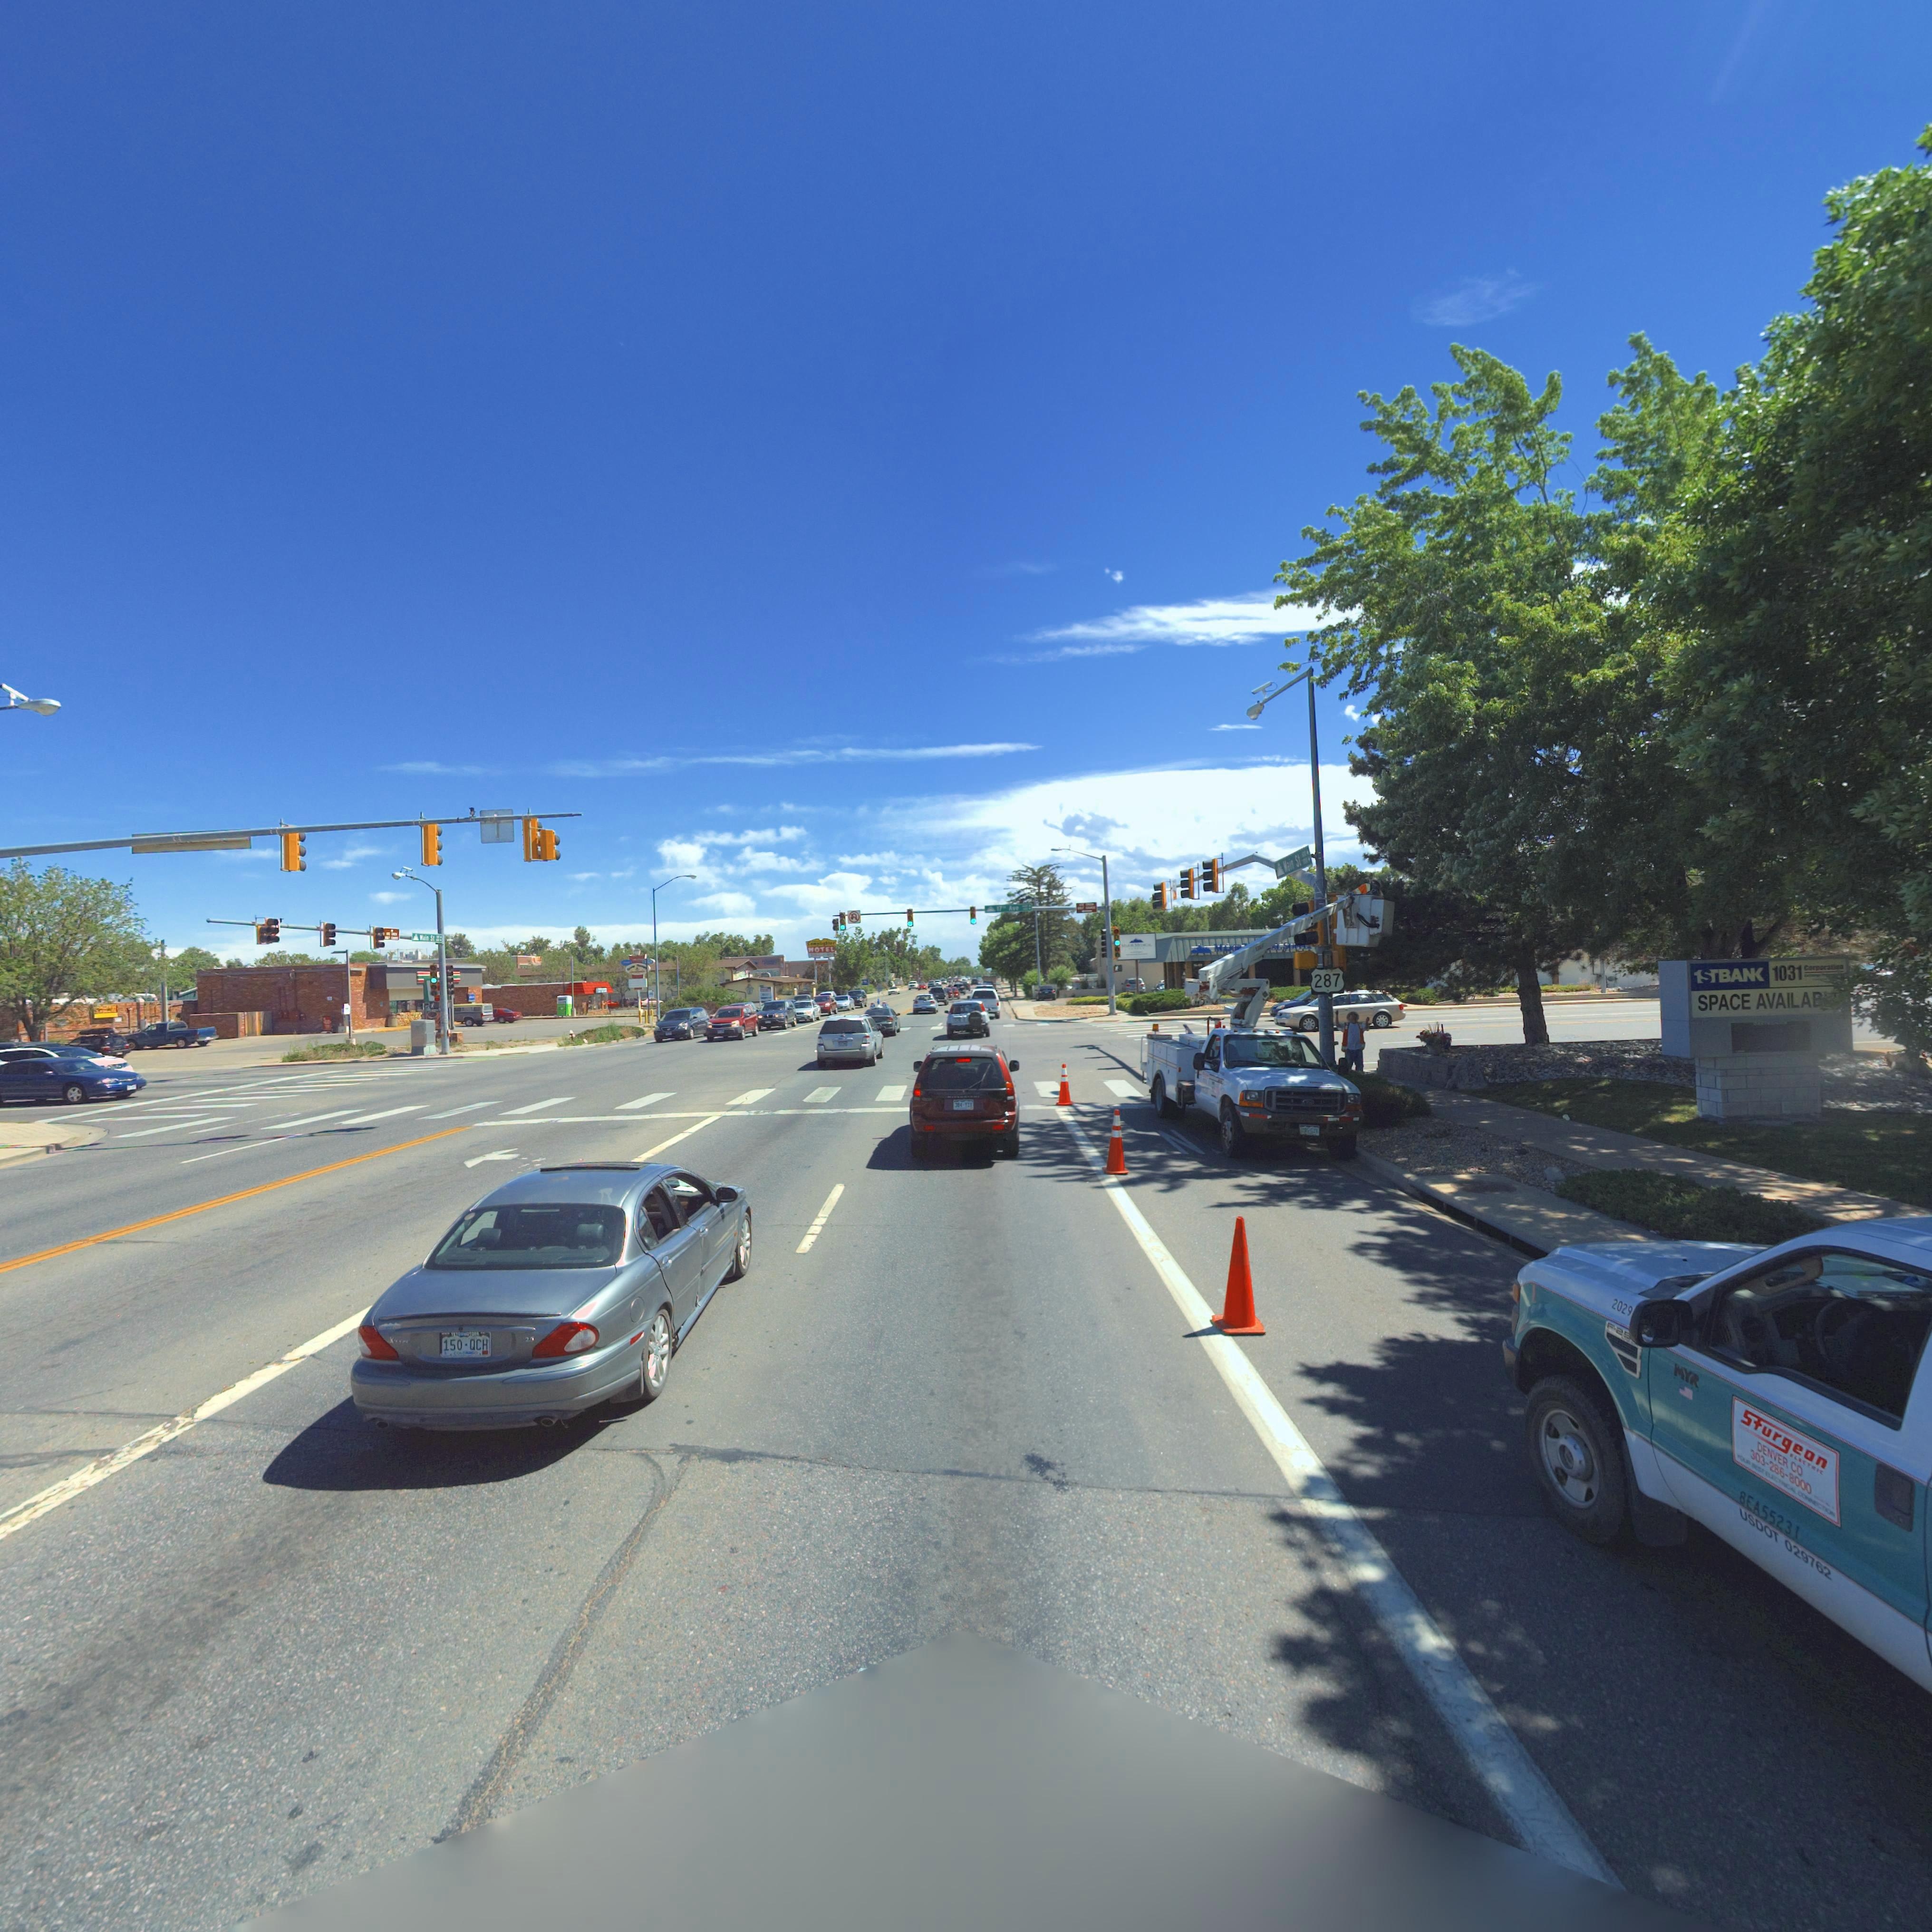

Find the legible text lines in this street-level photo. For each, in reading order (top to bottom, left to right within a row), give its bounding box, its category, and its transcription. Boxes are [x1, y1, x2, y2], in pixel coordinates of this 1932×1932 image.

[1282, 852, 1303, 872] StreetName: Main St
[1302, 856, 1311, 865] StreetNumberRange: 70* **
[996, 905, 1019, 911] StreetName: 17th Ave
[419, 934, 435, 941] StreetName: Main St
[807, 940, 835, 946] BusinessName: Lampl******
[808, 946, 835, 952] BusinessName: MOTEL
[1121, 943, 1152, 947] BusinessName: M***R M*****L
[1214, 944, 1236, 952] BusinessName: MAJO
[1271, 942, 1294, 950] BusinessName: *L SO
[1804, 964, 1844, 971] BusinessName: Corporation
[1693, 966, 1766, 984] BusinessName: 1STBAN*
[1772, 964, 1803, 981] BusinessName: 1031